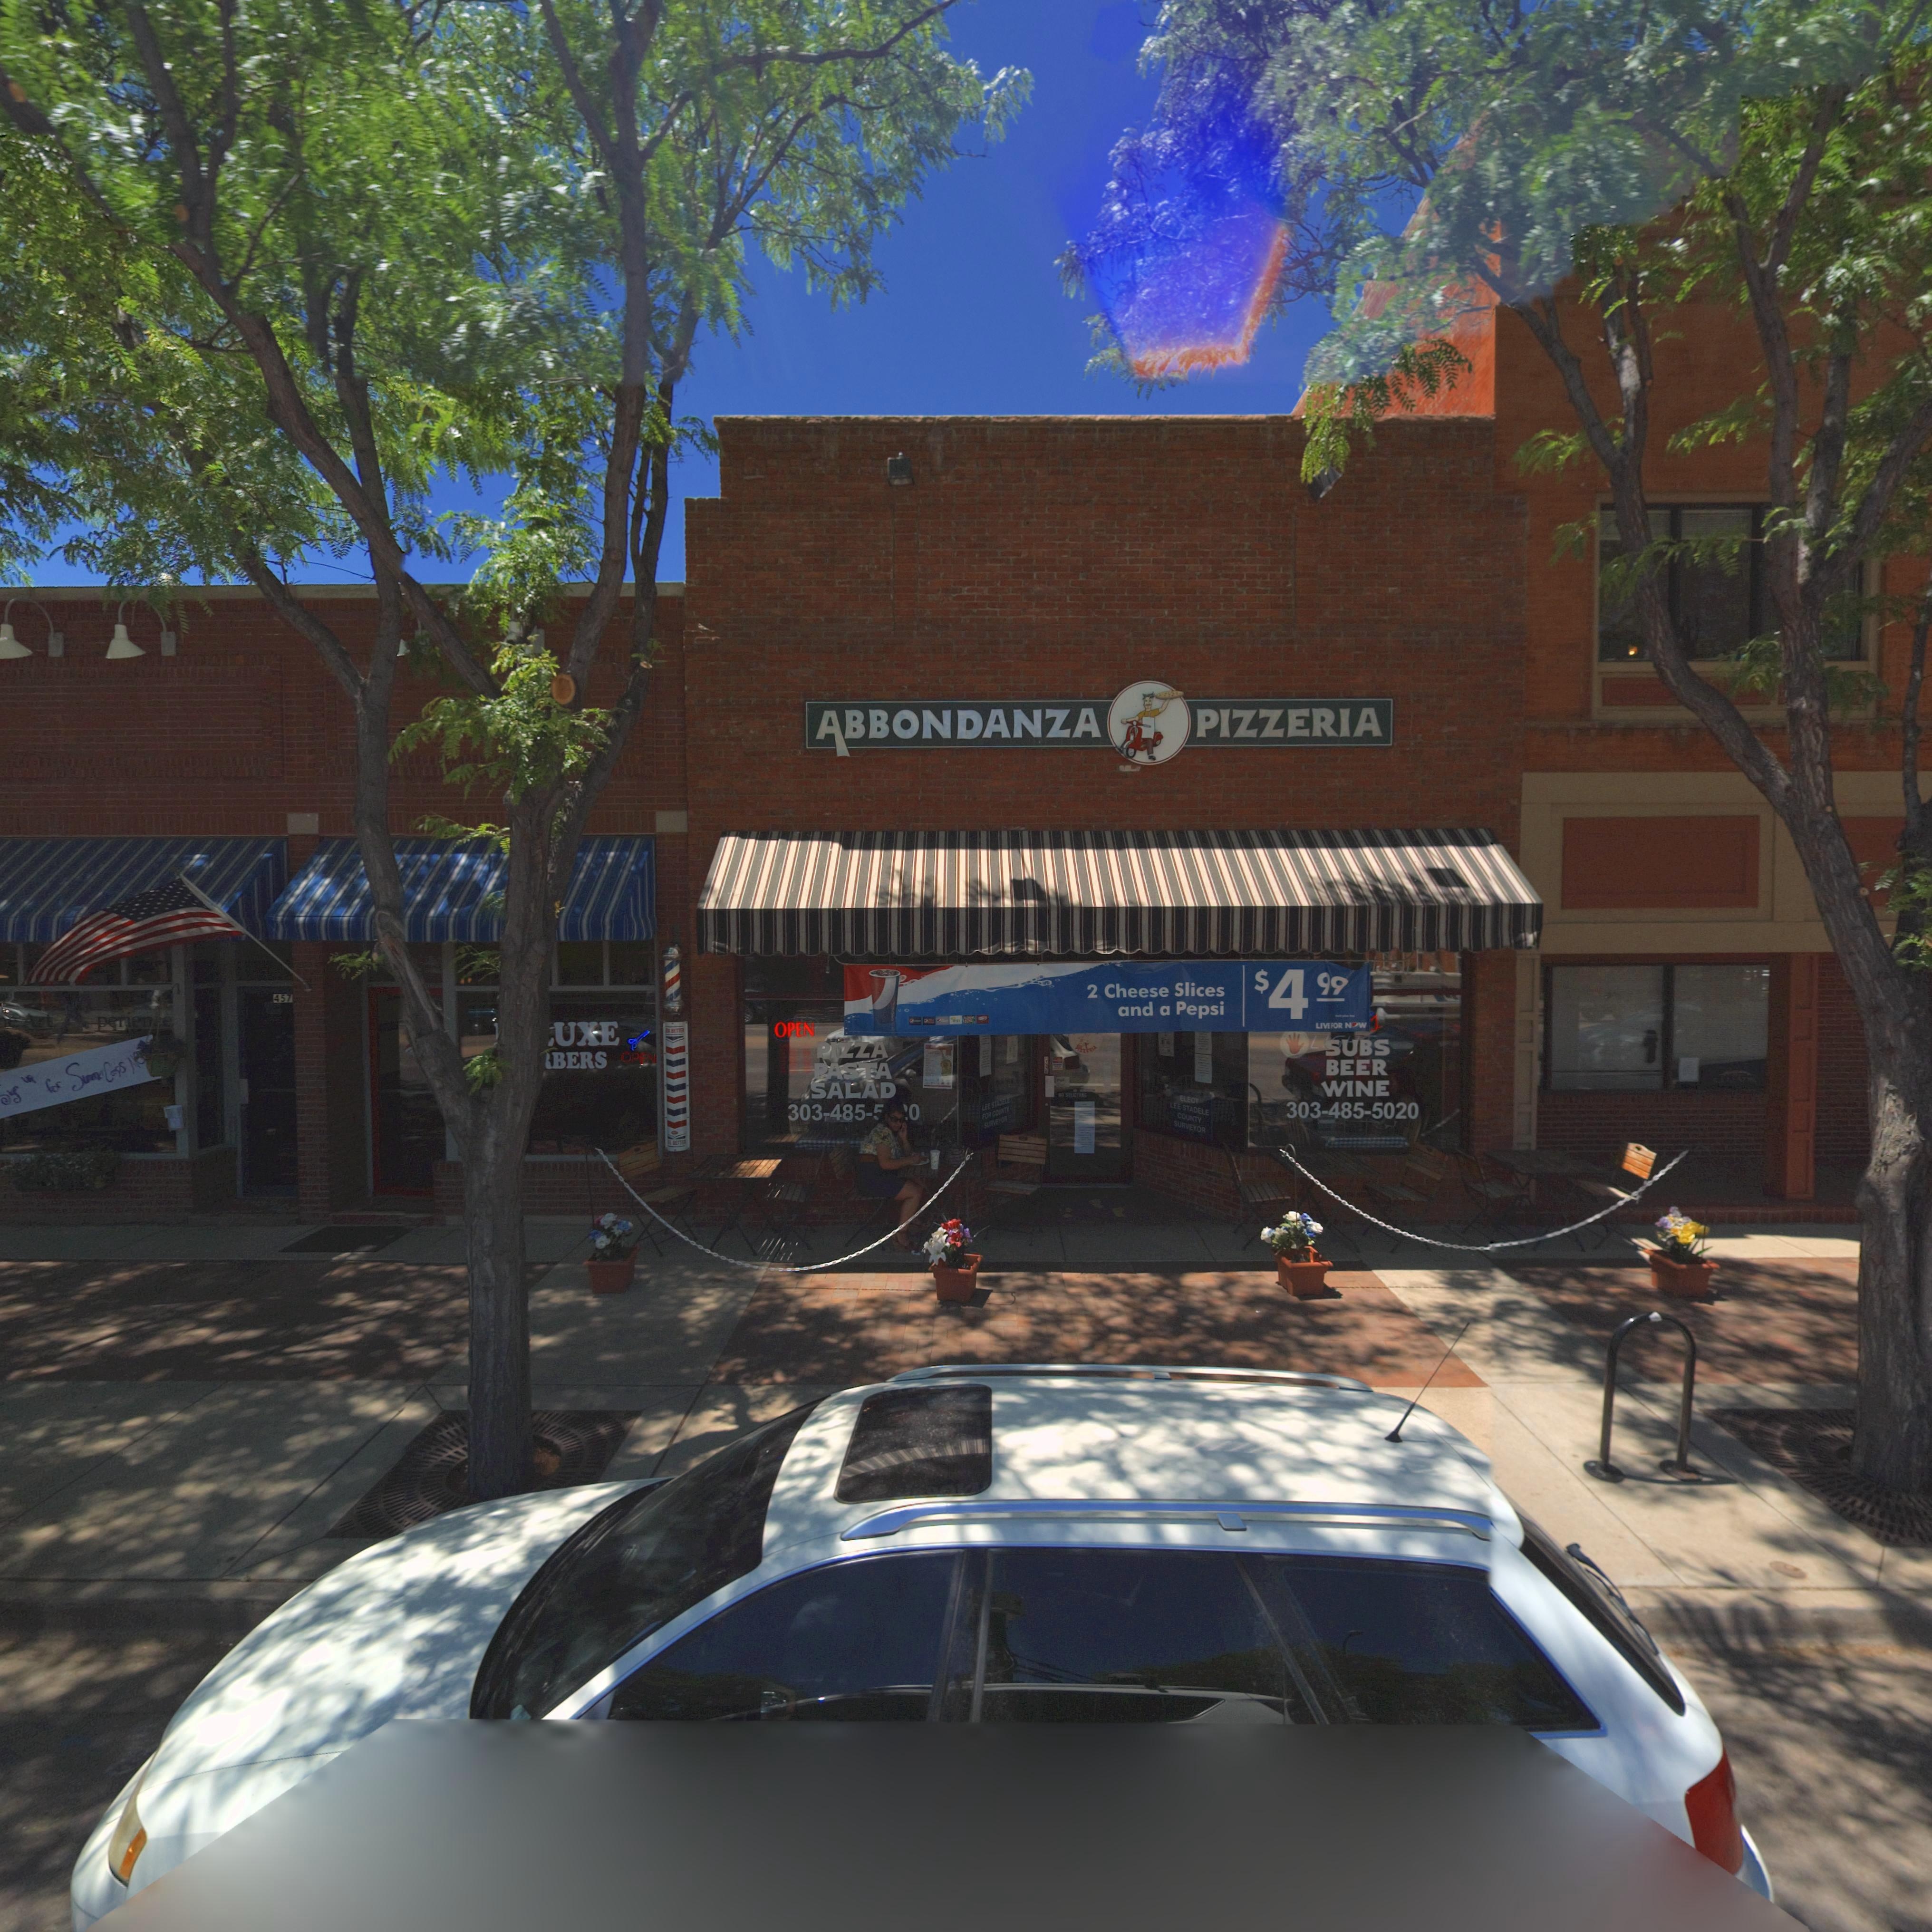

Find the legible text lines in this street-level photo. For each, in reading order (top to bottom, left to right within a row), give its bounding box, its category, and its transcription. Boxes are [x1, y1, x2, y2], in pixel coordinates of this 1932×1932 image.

[814, 707, 1383, 757] BusinessName: ABBONDANZA PIZZERIA
[273, 994, 291, 1003] StreetNumber: 457
[552, 1020, 620, 1048] BusinessName: UXE
[551, 1051, 608, 1070] BusinessName: BERS
[1076, 1269, 1125, 1283] StreetNumber: 4**